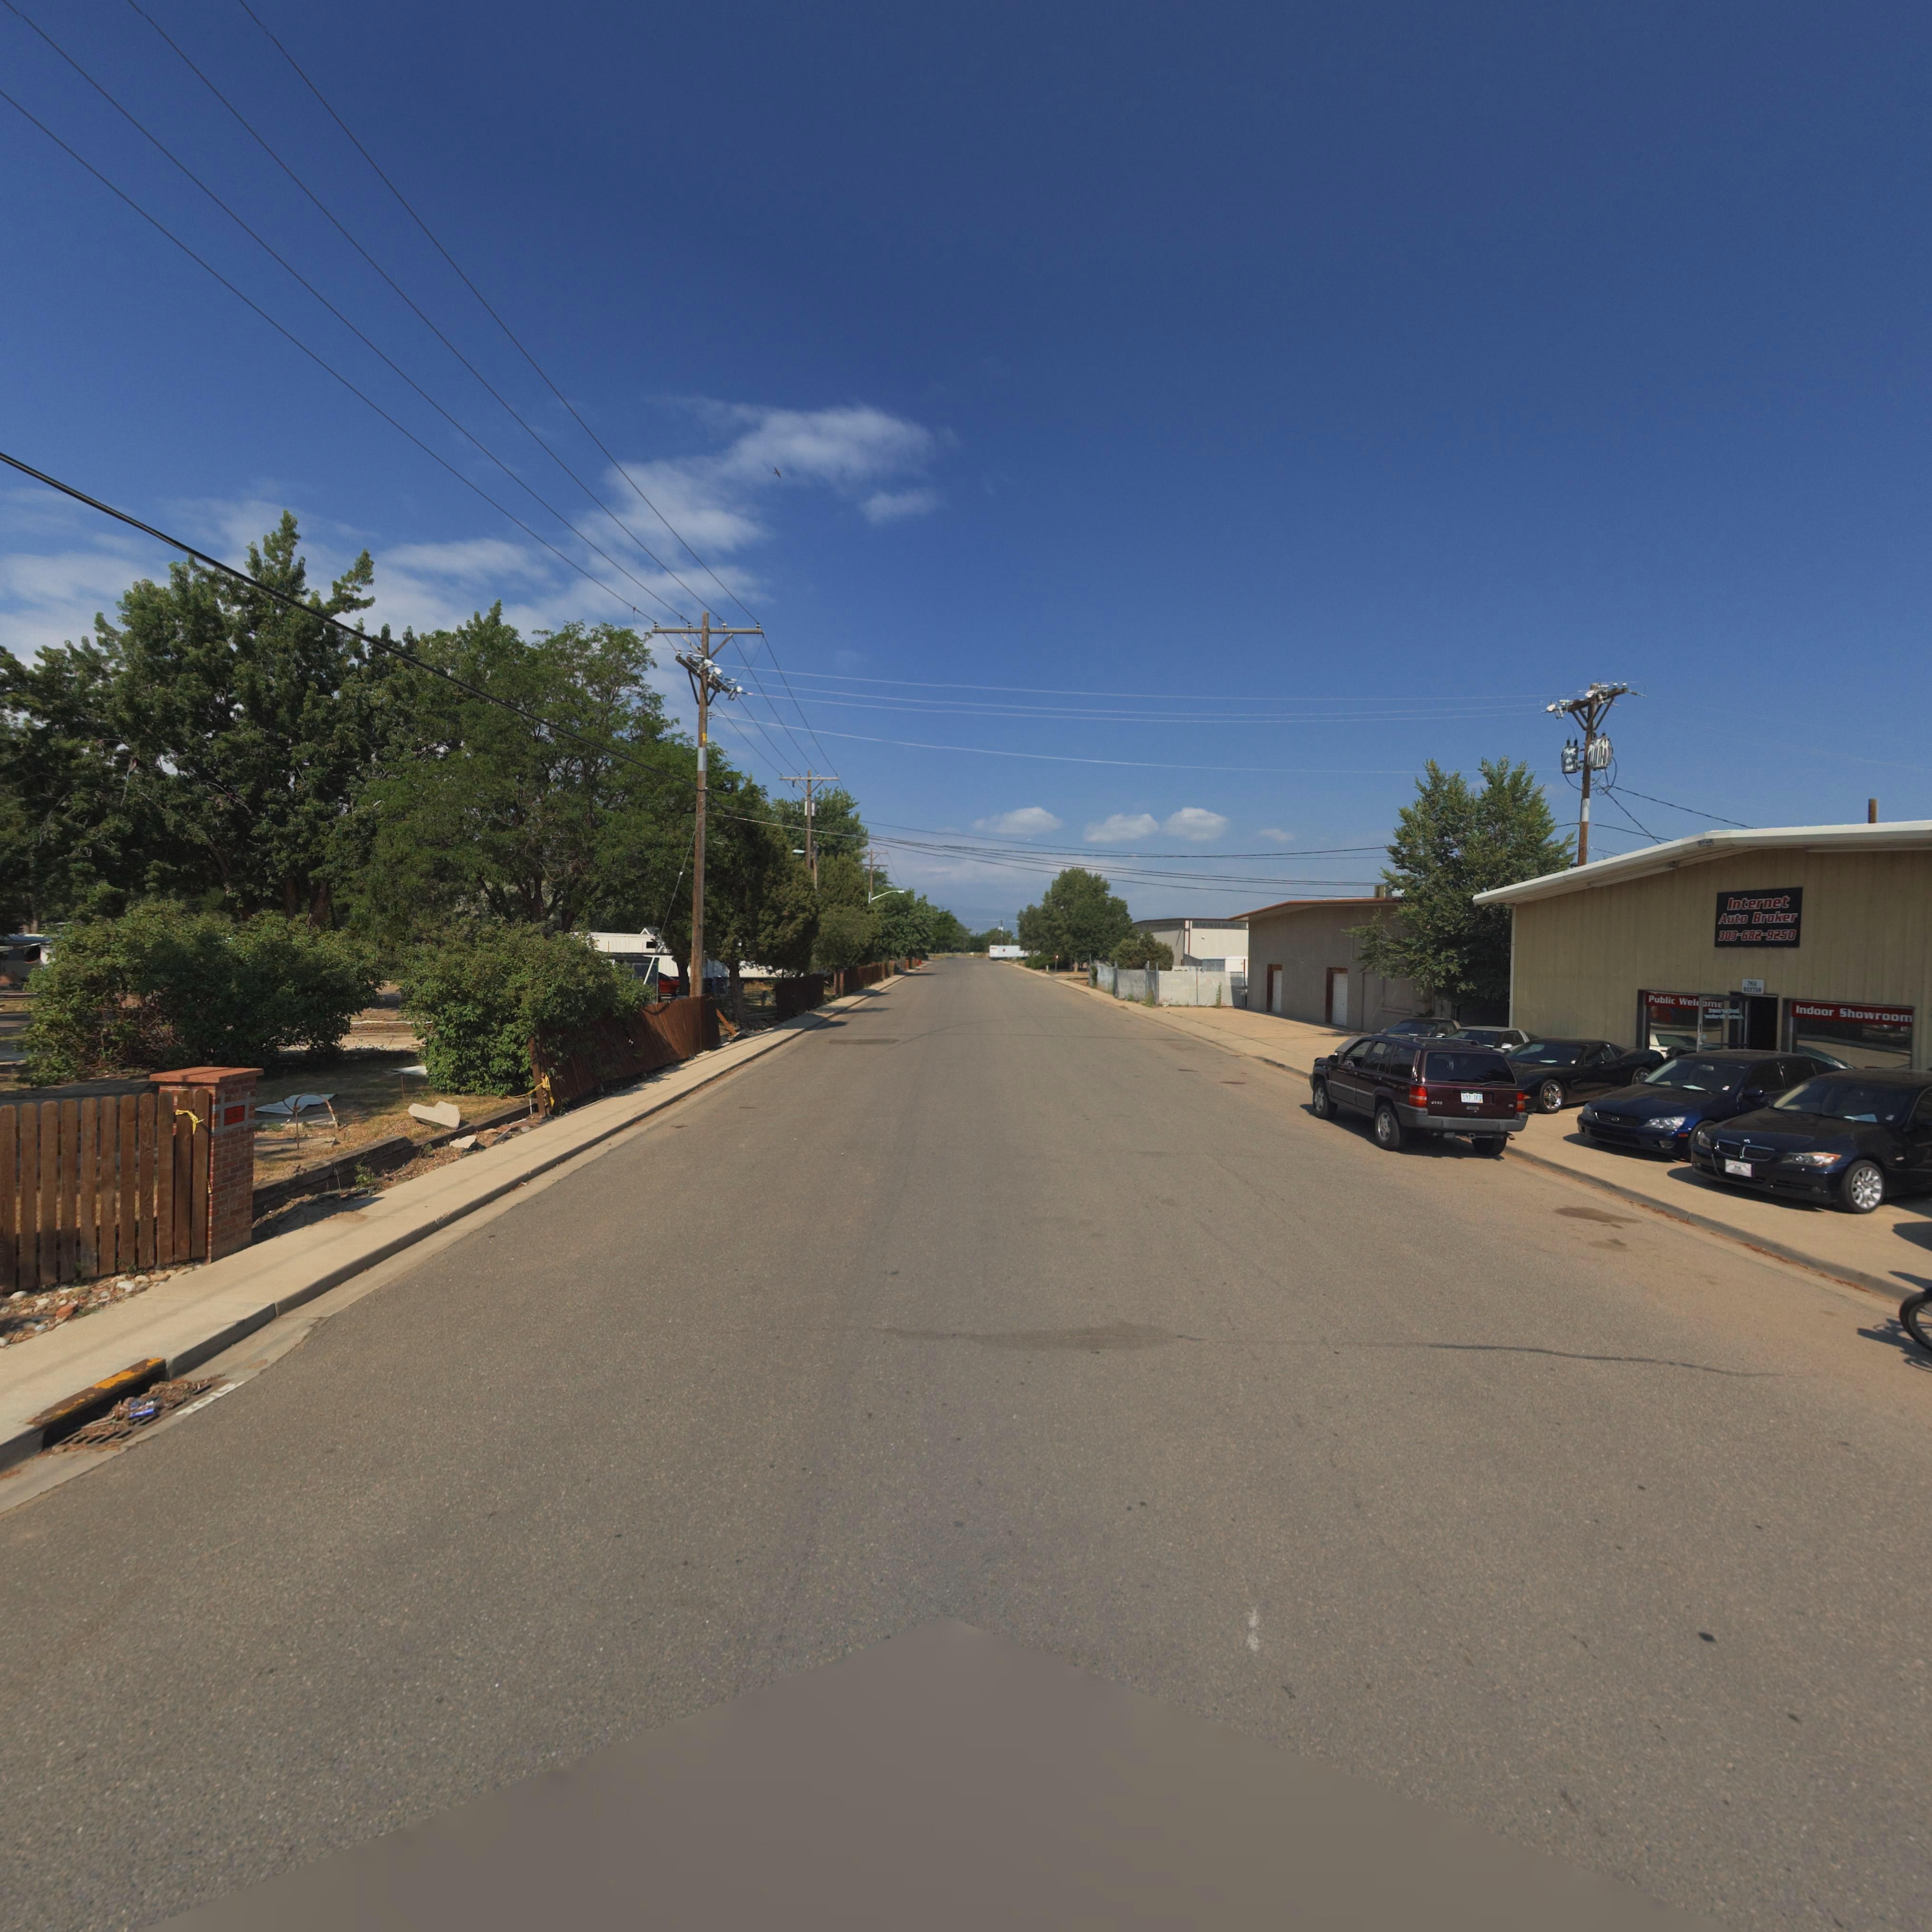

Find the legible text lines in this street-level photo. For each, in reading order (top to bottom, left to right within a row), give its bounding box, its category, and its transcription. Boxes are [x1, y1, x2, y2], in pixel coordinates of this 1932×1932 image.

[1726, 896, 1791, 911] BusinessName: Internet
[1717, 911, 1798, 925] BusinessName: Auto Broker
[1743, 986, 1761, 993] StreetName: B*ST**
[1747, 981, 1758, 986] StreetNumber: *40